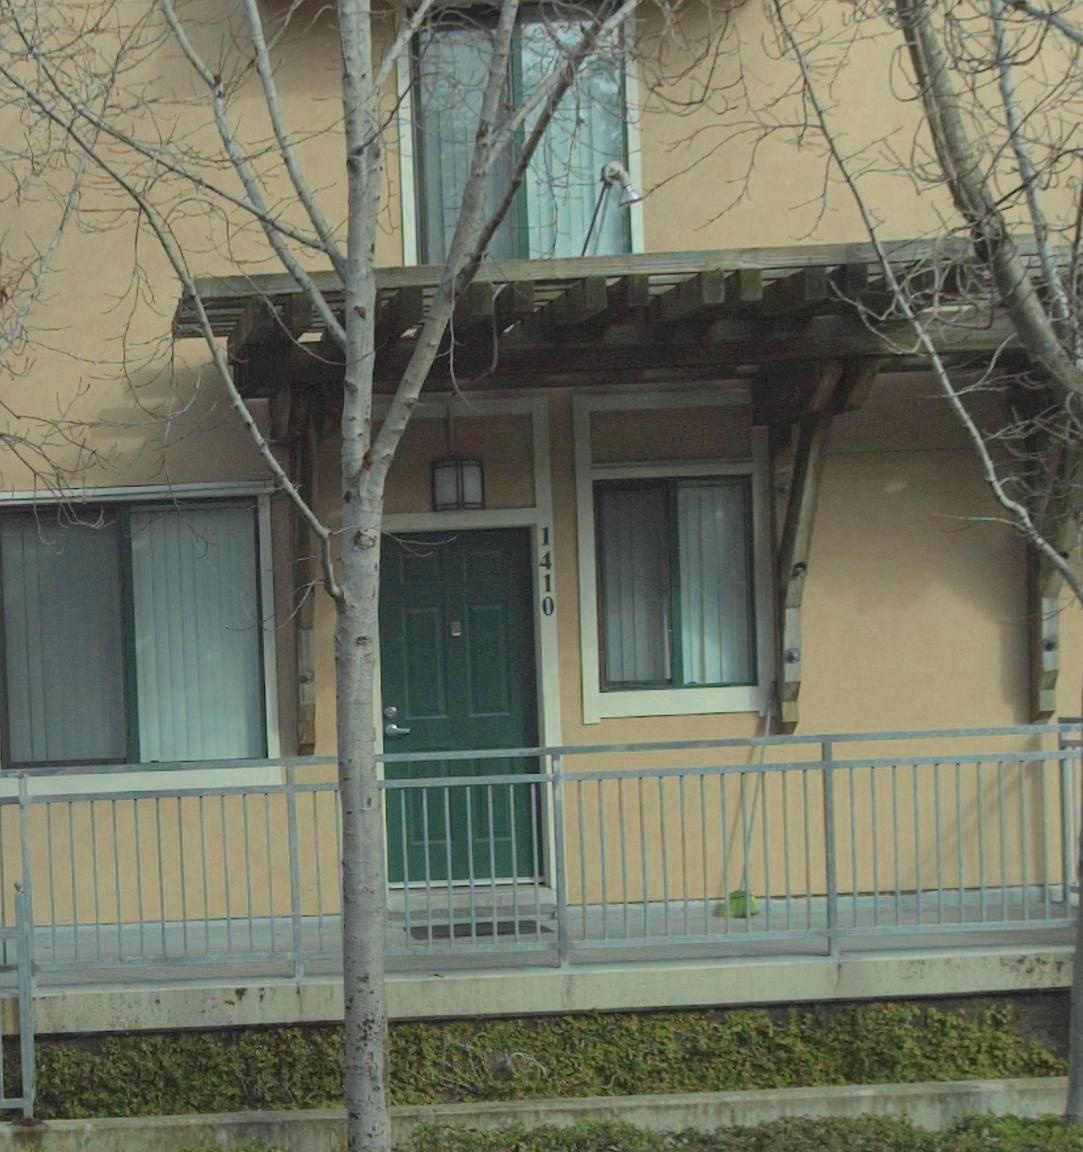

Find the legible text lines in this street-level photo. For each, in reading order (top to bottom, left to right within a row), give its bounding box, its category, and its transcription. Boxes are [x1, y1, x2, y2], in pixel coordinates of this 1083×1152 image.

[536, 523, 556, 620] StreetNumber: 1410